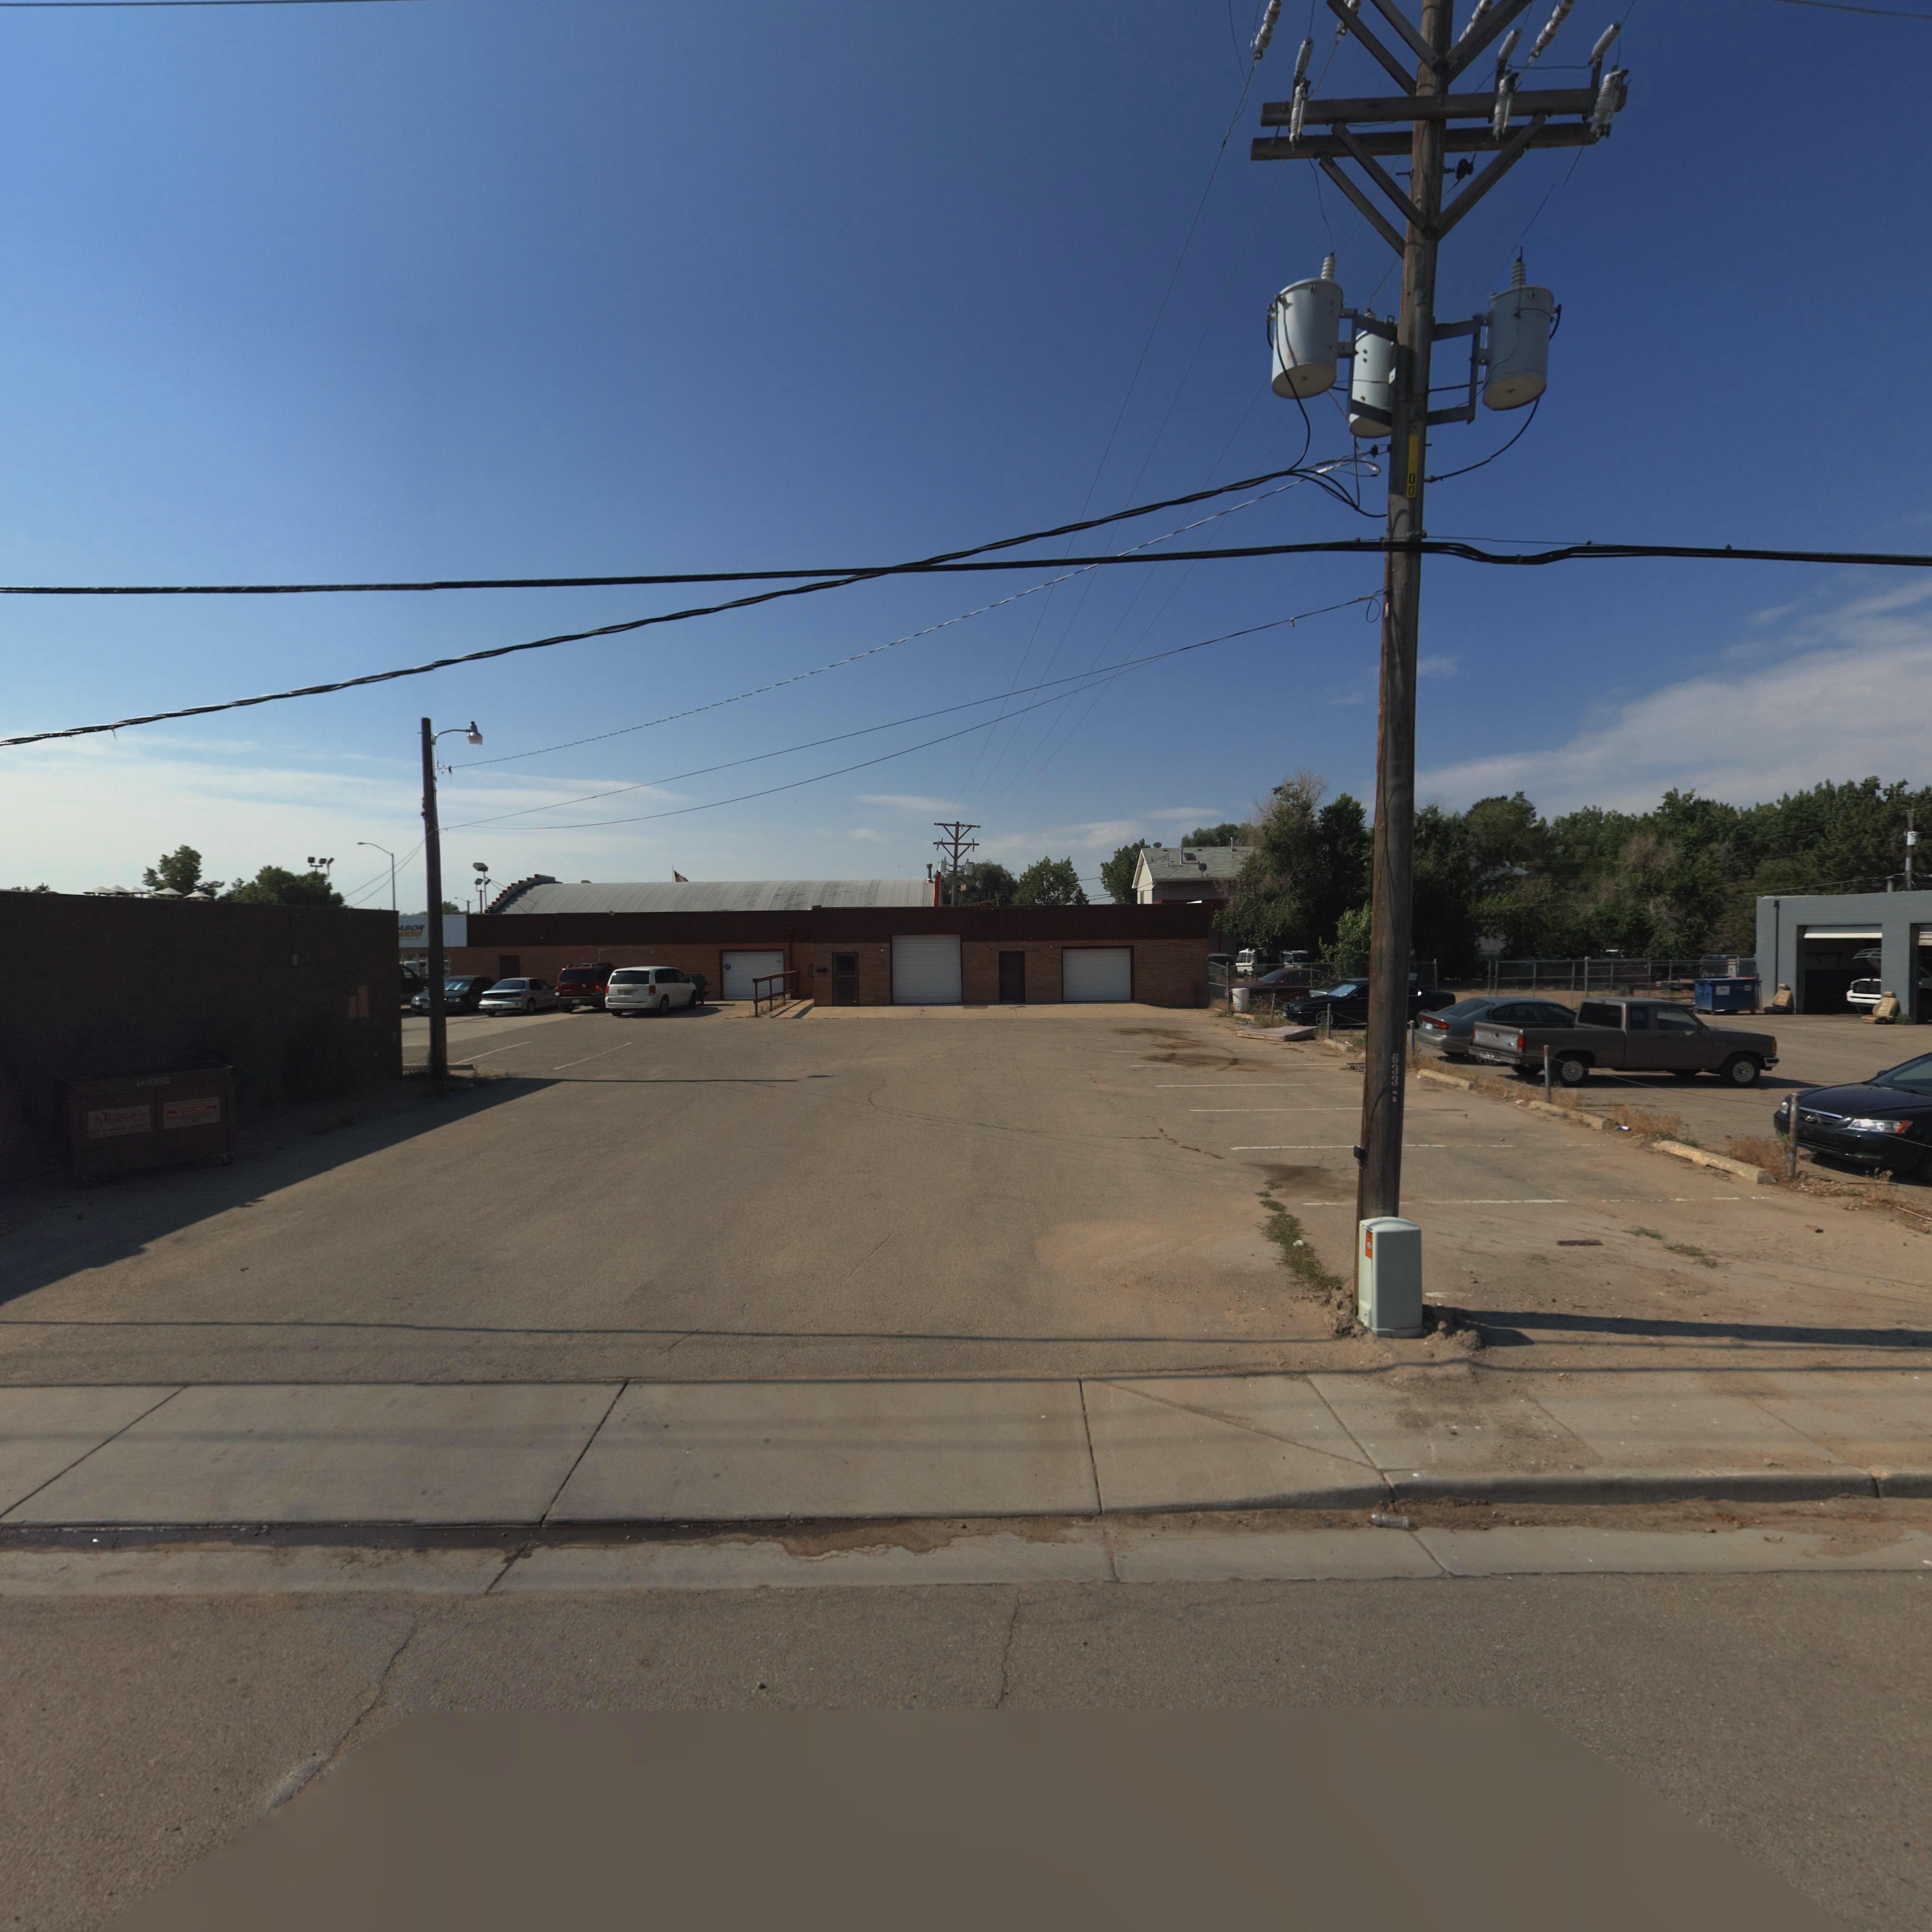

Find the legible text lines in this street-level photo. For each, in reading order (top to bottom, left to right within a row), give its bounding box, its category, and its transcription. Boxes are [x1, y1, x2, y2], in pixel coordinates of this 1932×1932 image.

[404, 924, 425, 930] BusinessName: BOR
[399, 930, 423, 937] BusinessName: ***S